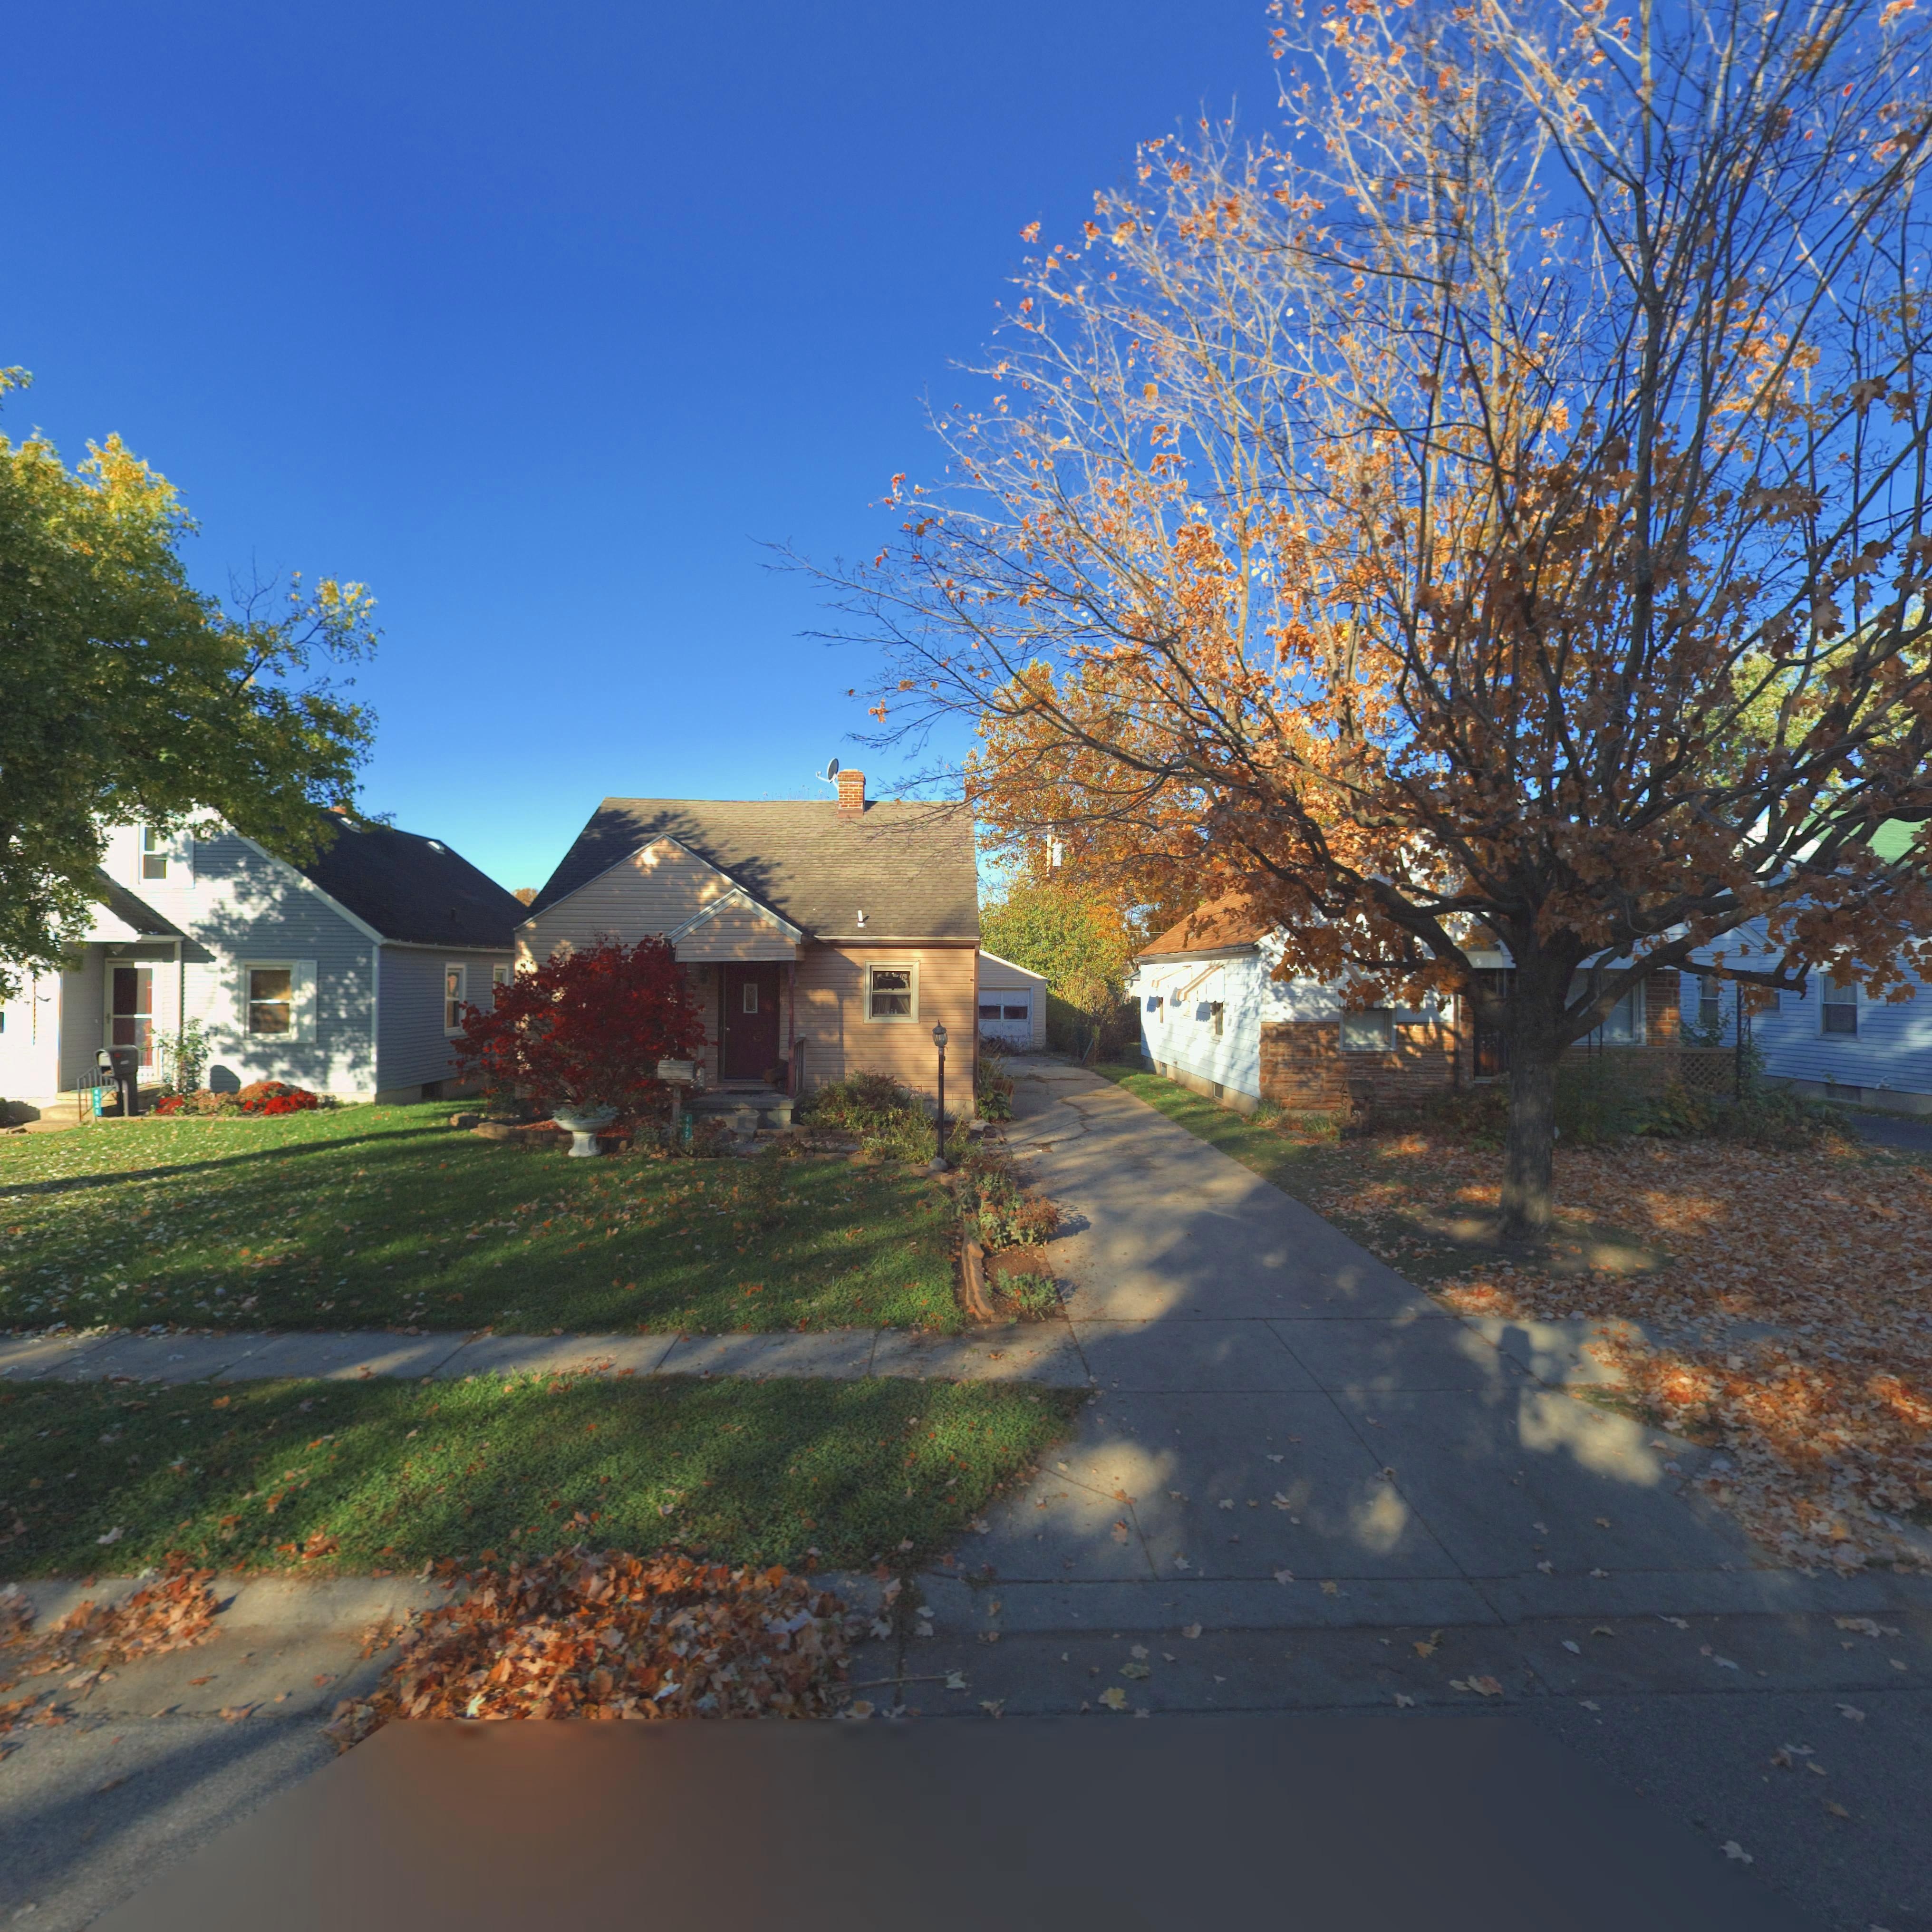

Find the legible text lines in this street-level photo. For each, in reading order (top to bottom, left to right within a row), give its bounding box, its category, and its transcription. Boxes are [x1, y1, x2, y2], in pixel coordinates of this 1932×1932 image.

[94, 1089, 100, 1115] StreetNumber: 4931
[684, 1116, 690, 1138] StreetNumber: 492